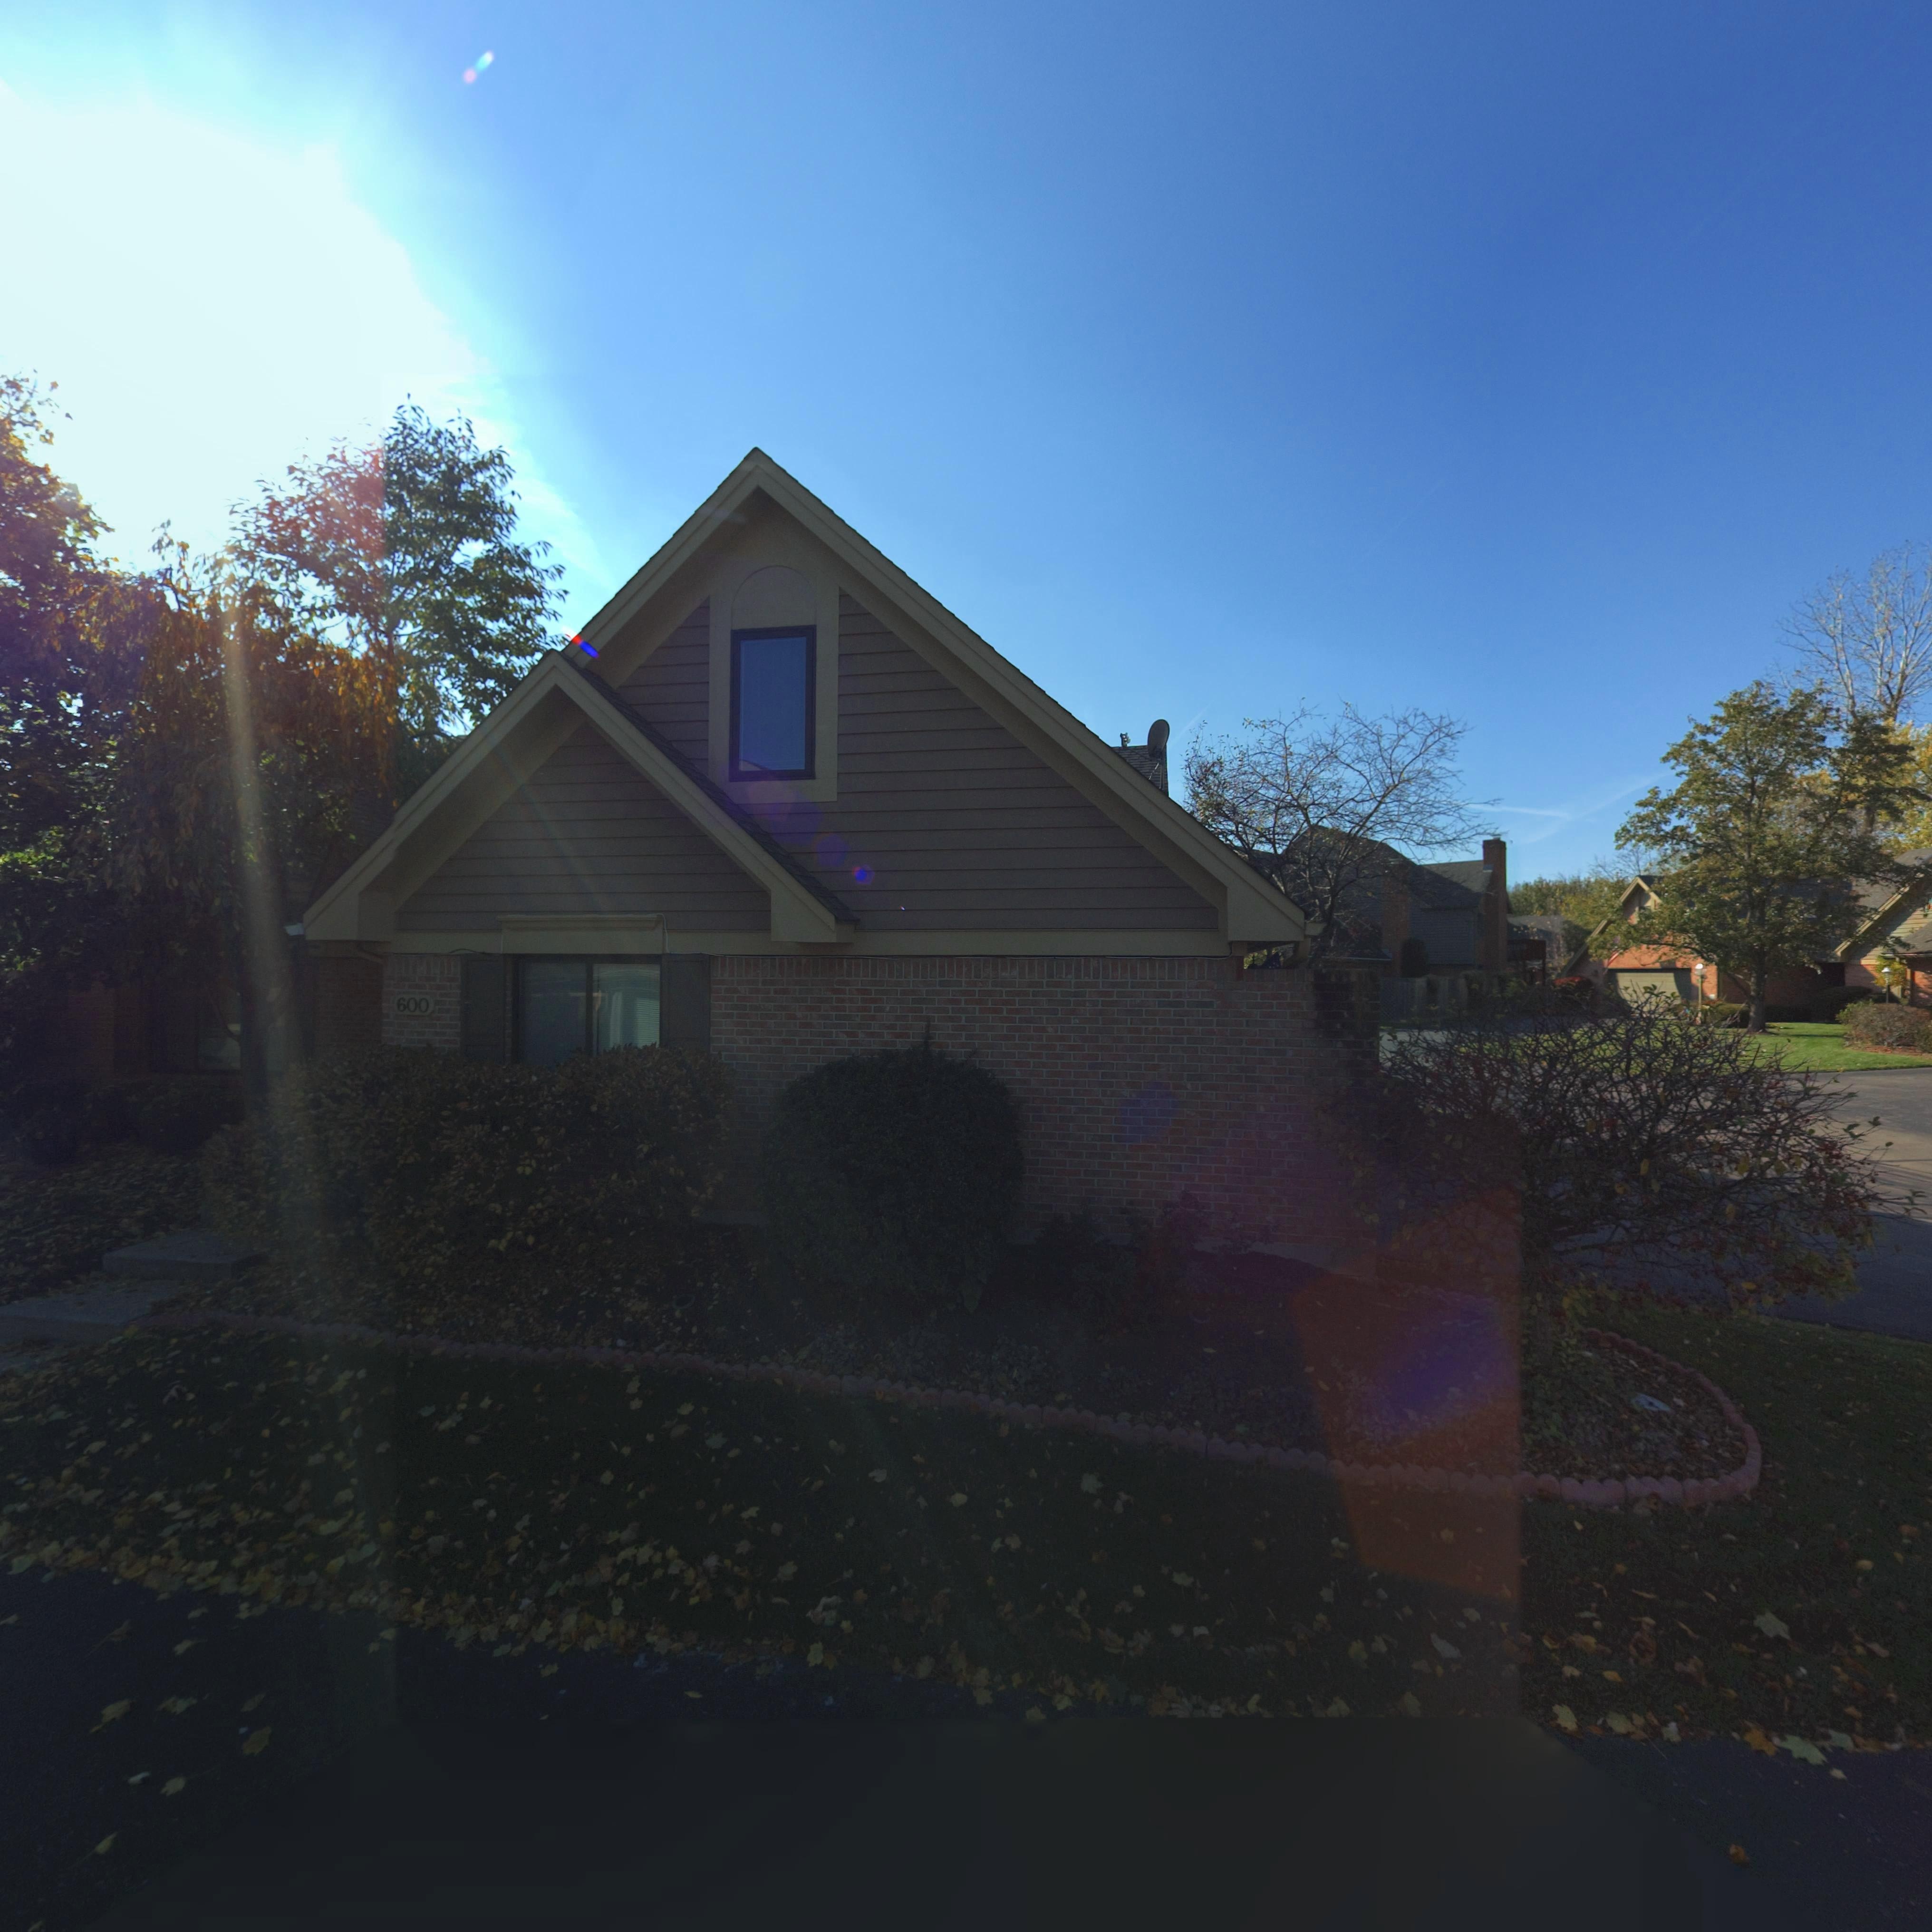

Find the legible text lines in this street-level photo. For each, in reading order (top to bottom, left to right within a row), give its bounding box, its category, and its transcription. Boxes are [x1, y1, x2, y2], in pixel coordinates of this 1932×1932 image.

[396, 996, 430, 1014] StreetNumber: 600